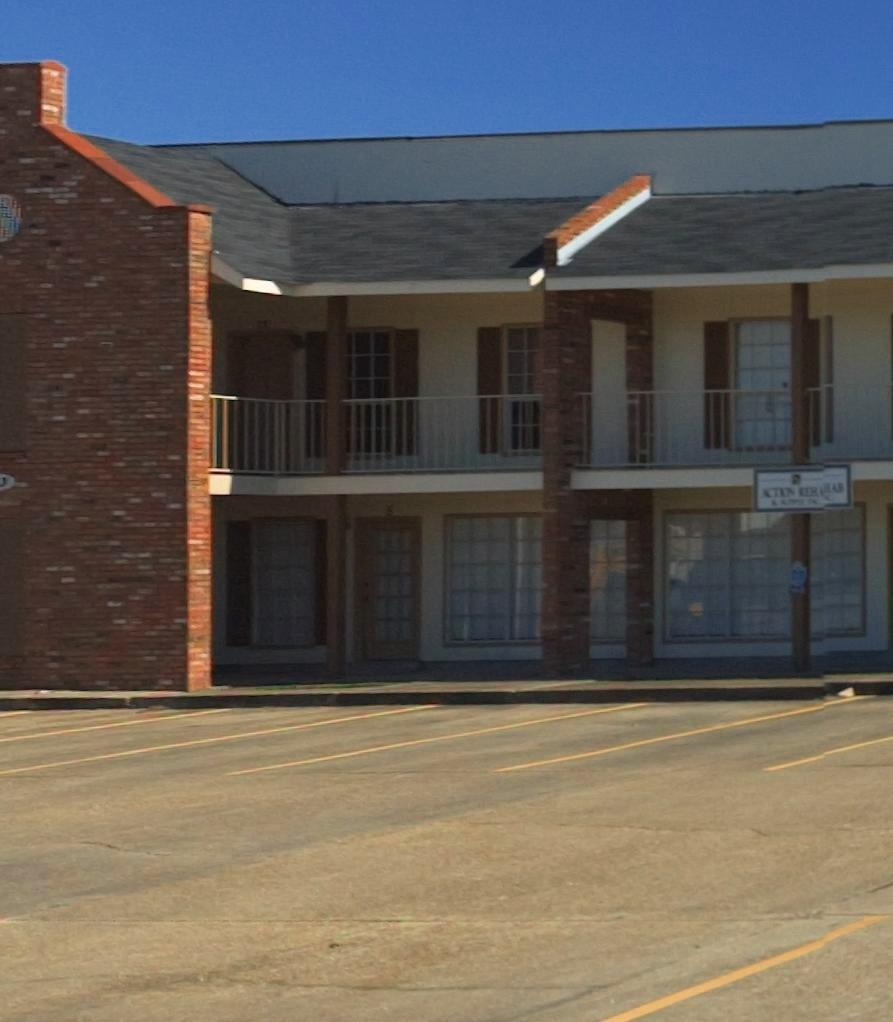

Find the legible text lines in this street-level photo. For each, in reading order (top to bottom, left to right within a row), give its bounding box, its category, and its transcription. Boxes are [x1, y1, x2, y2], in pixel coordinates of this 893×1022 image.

[385, 503, 395, 517] StreetNumber: 5